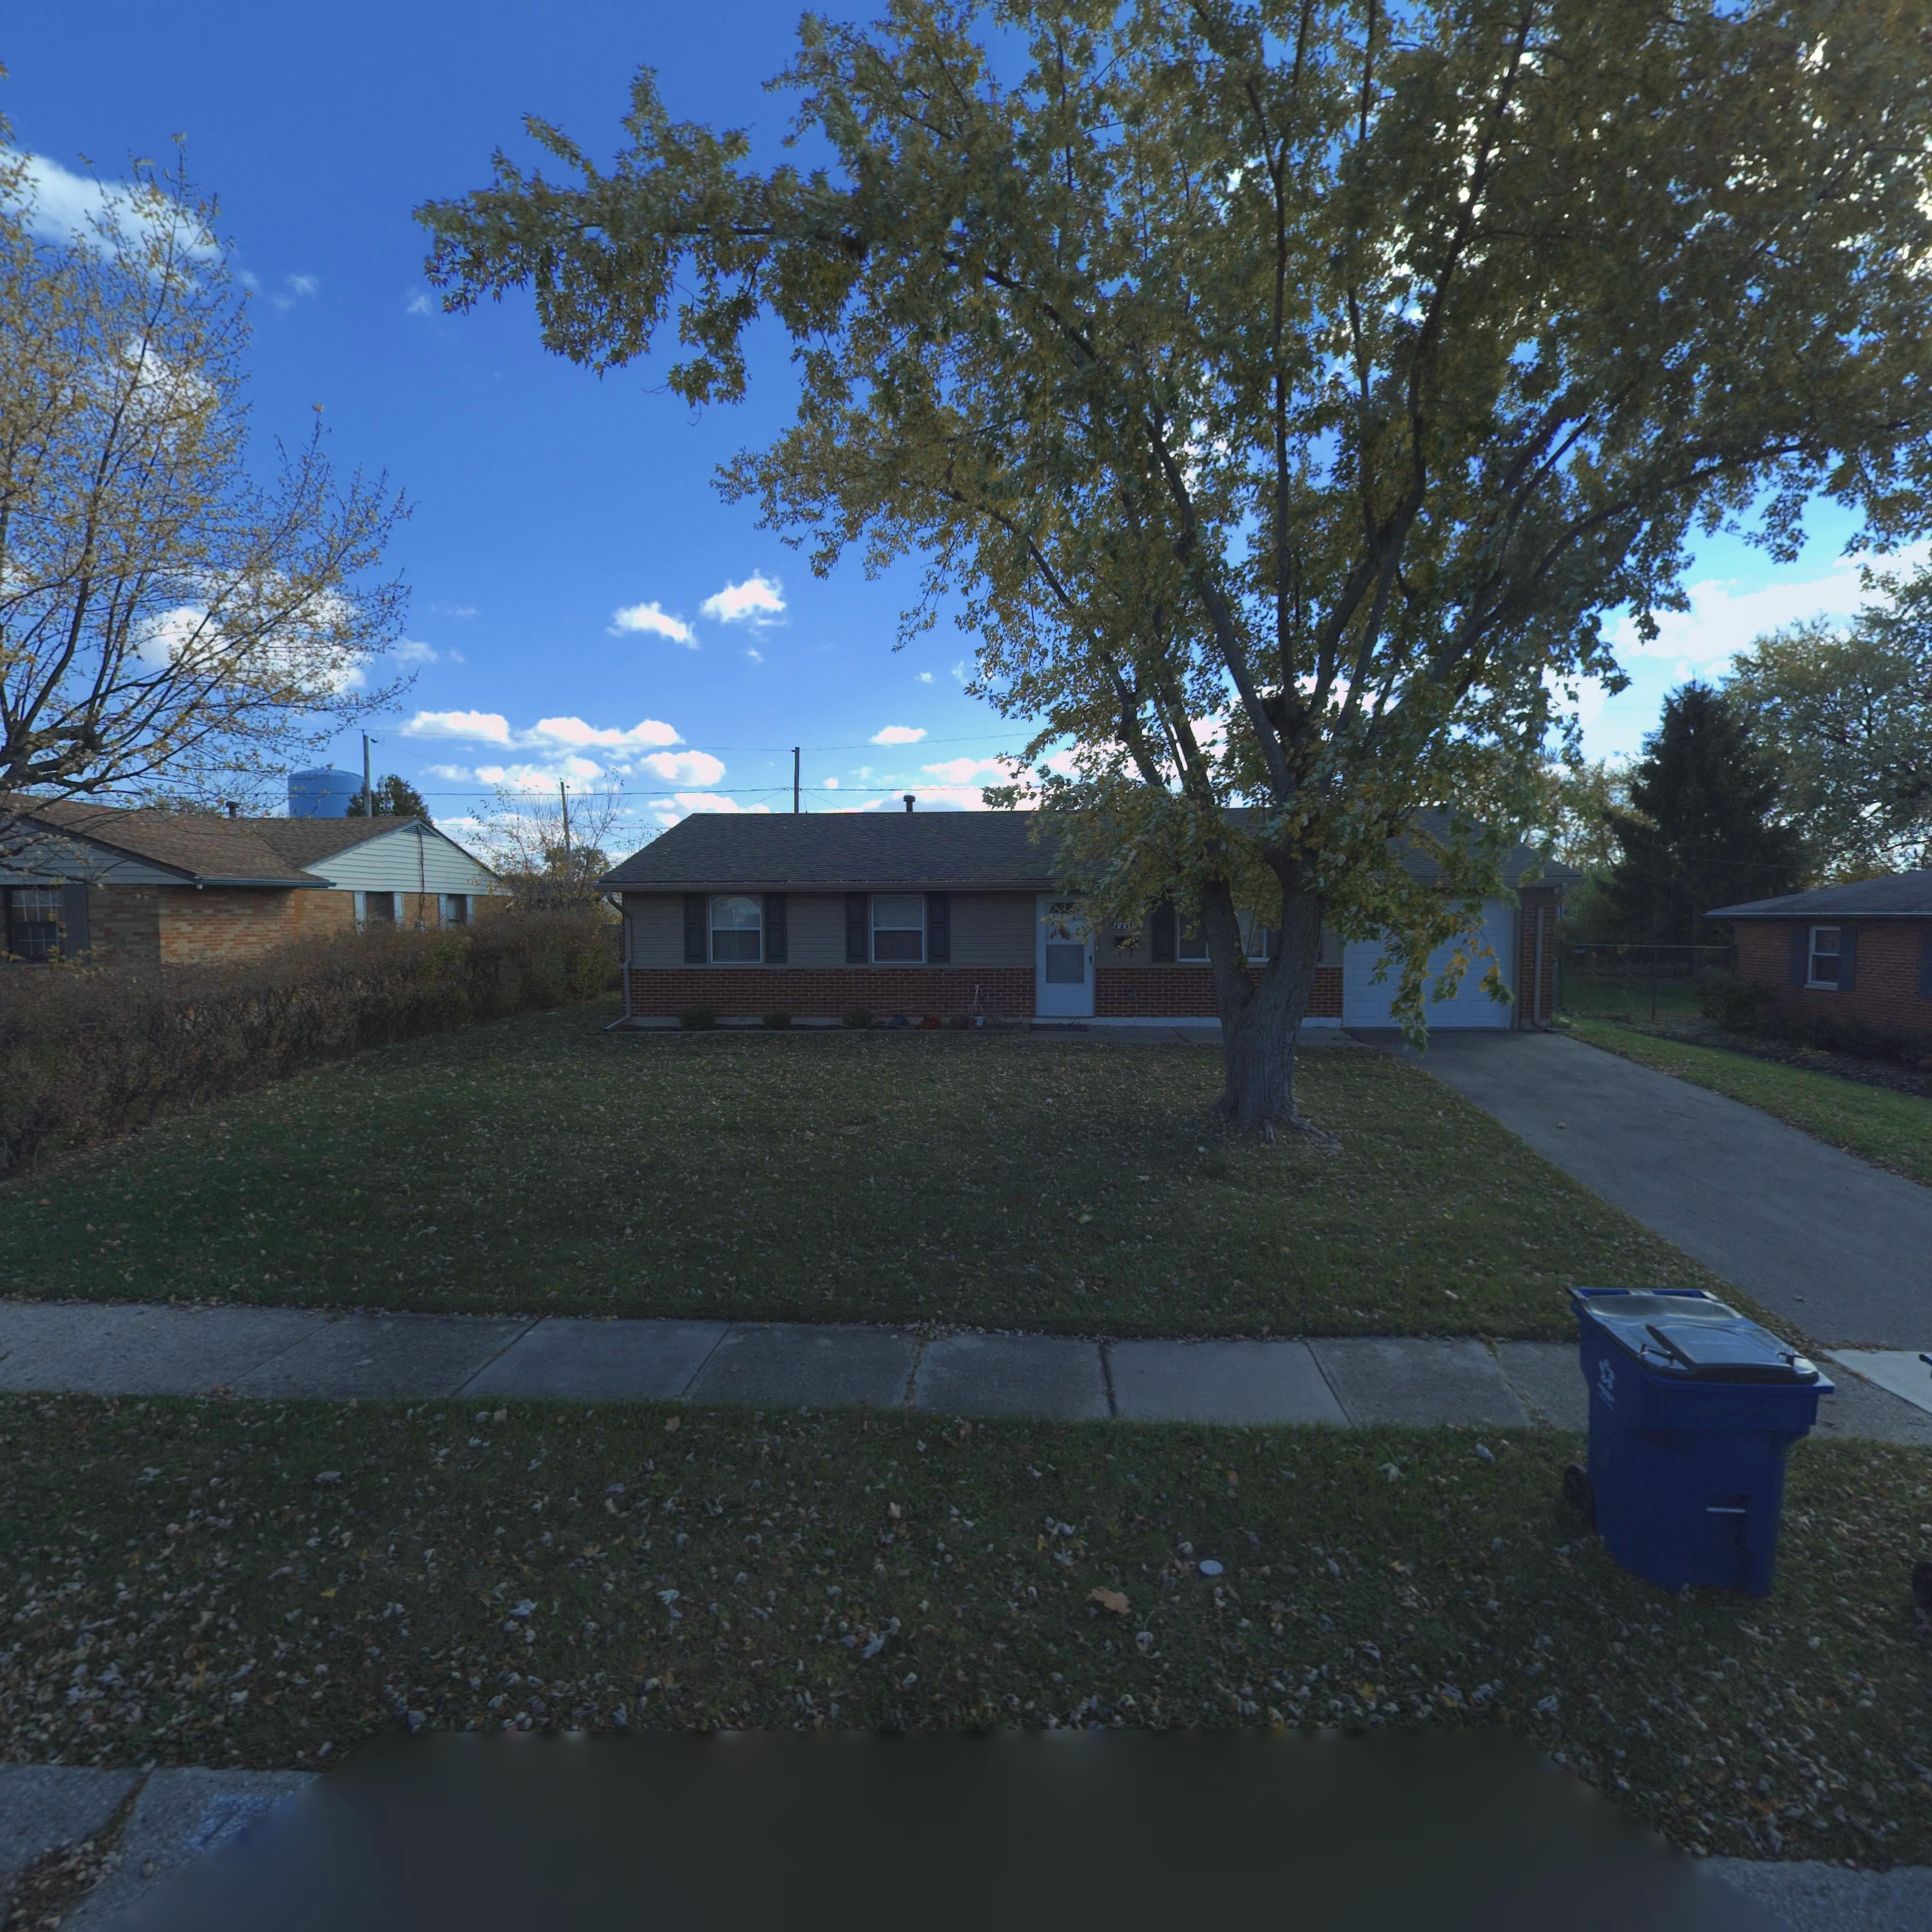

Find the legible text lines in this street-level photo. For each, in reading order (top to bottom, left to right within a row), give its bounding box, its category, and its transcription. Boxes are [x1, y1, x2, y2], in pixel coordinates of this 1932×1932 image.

[1113, 920, 1130, 929] StreetNumber: 777
[191, 1797, 251, 1852] StreetNumber: 7